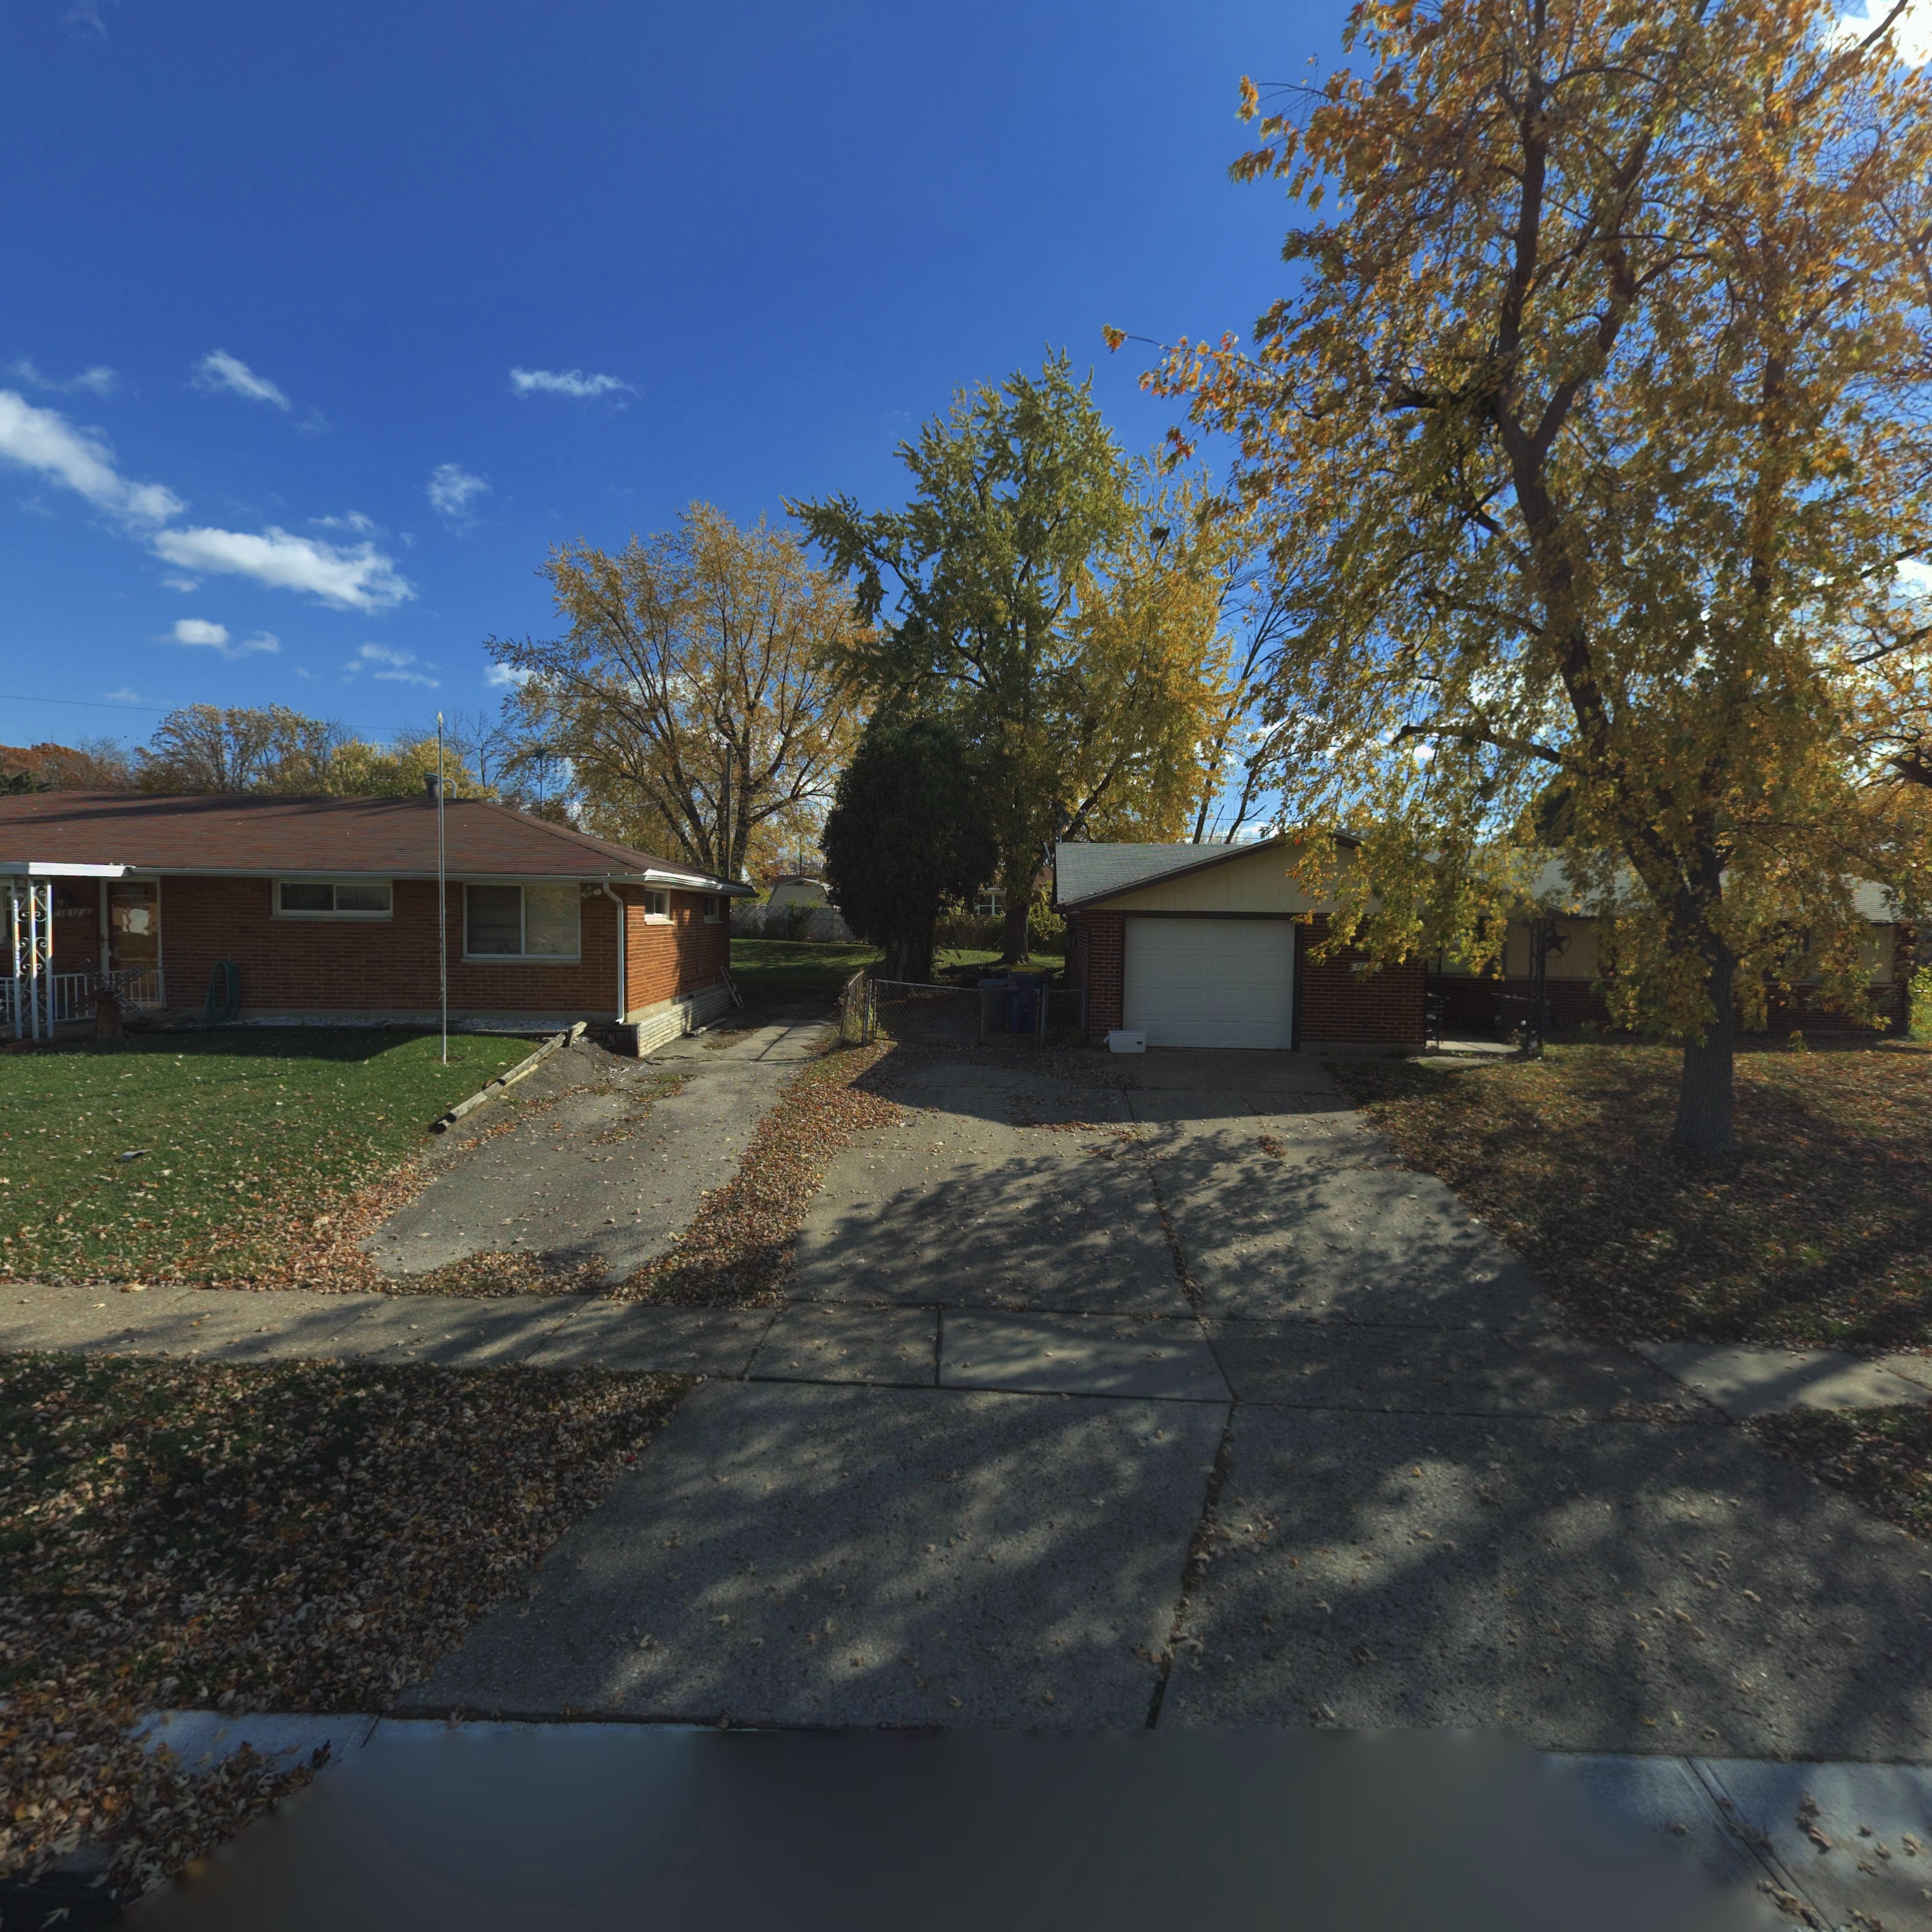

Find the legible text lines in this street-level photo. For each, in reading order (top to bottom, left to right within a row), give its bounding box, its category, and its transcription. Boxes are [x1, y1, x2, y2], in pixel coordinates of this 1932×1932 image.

[58, 908, 81, 917] StreetNumber: 7812
[1355, 963, 1362, 970] StreetNumber: 7